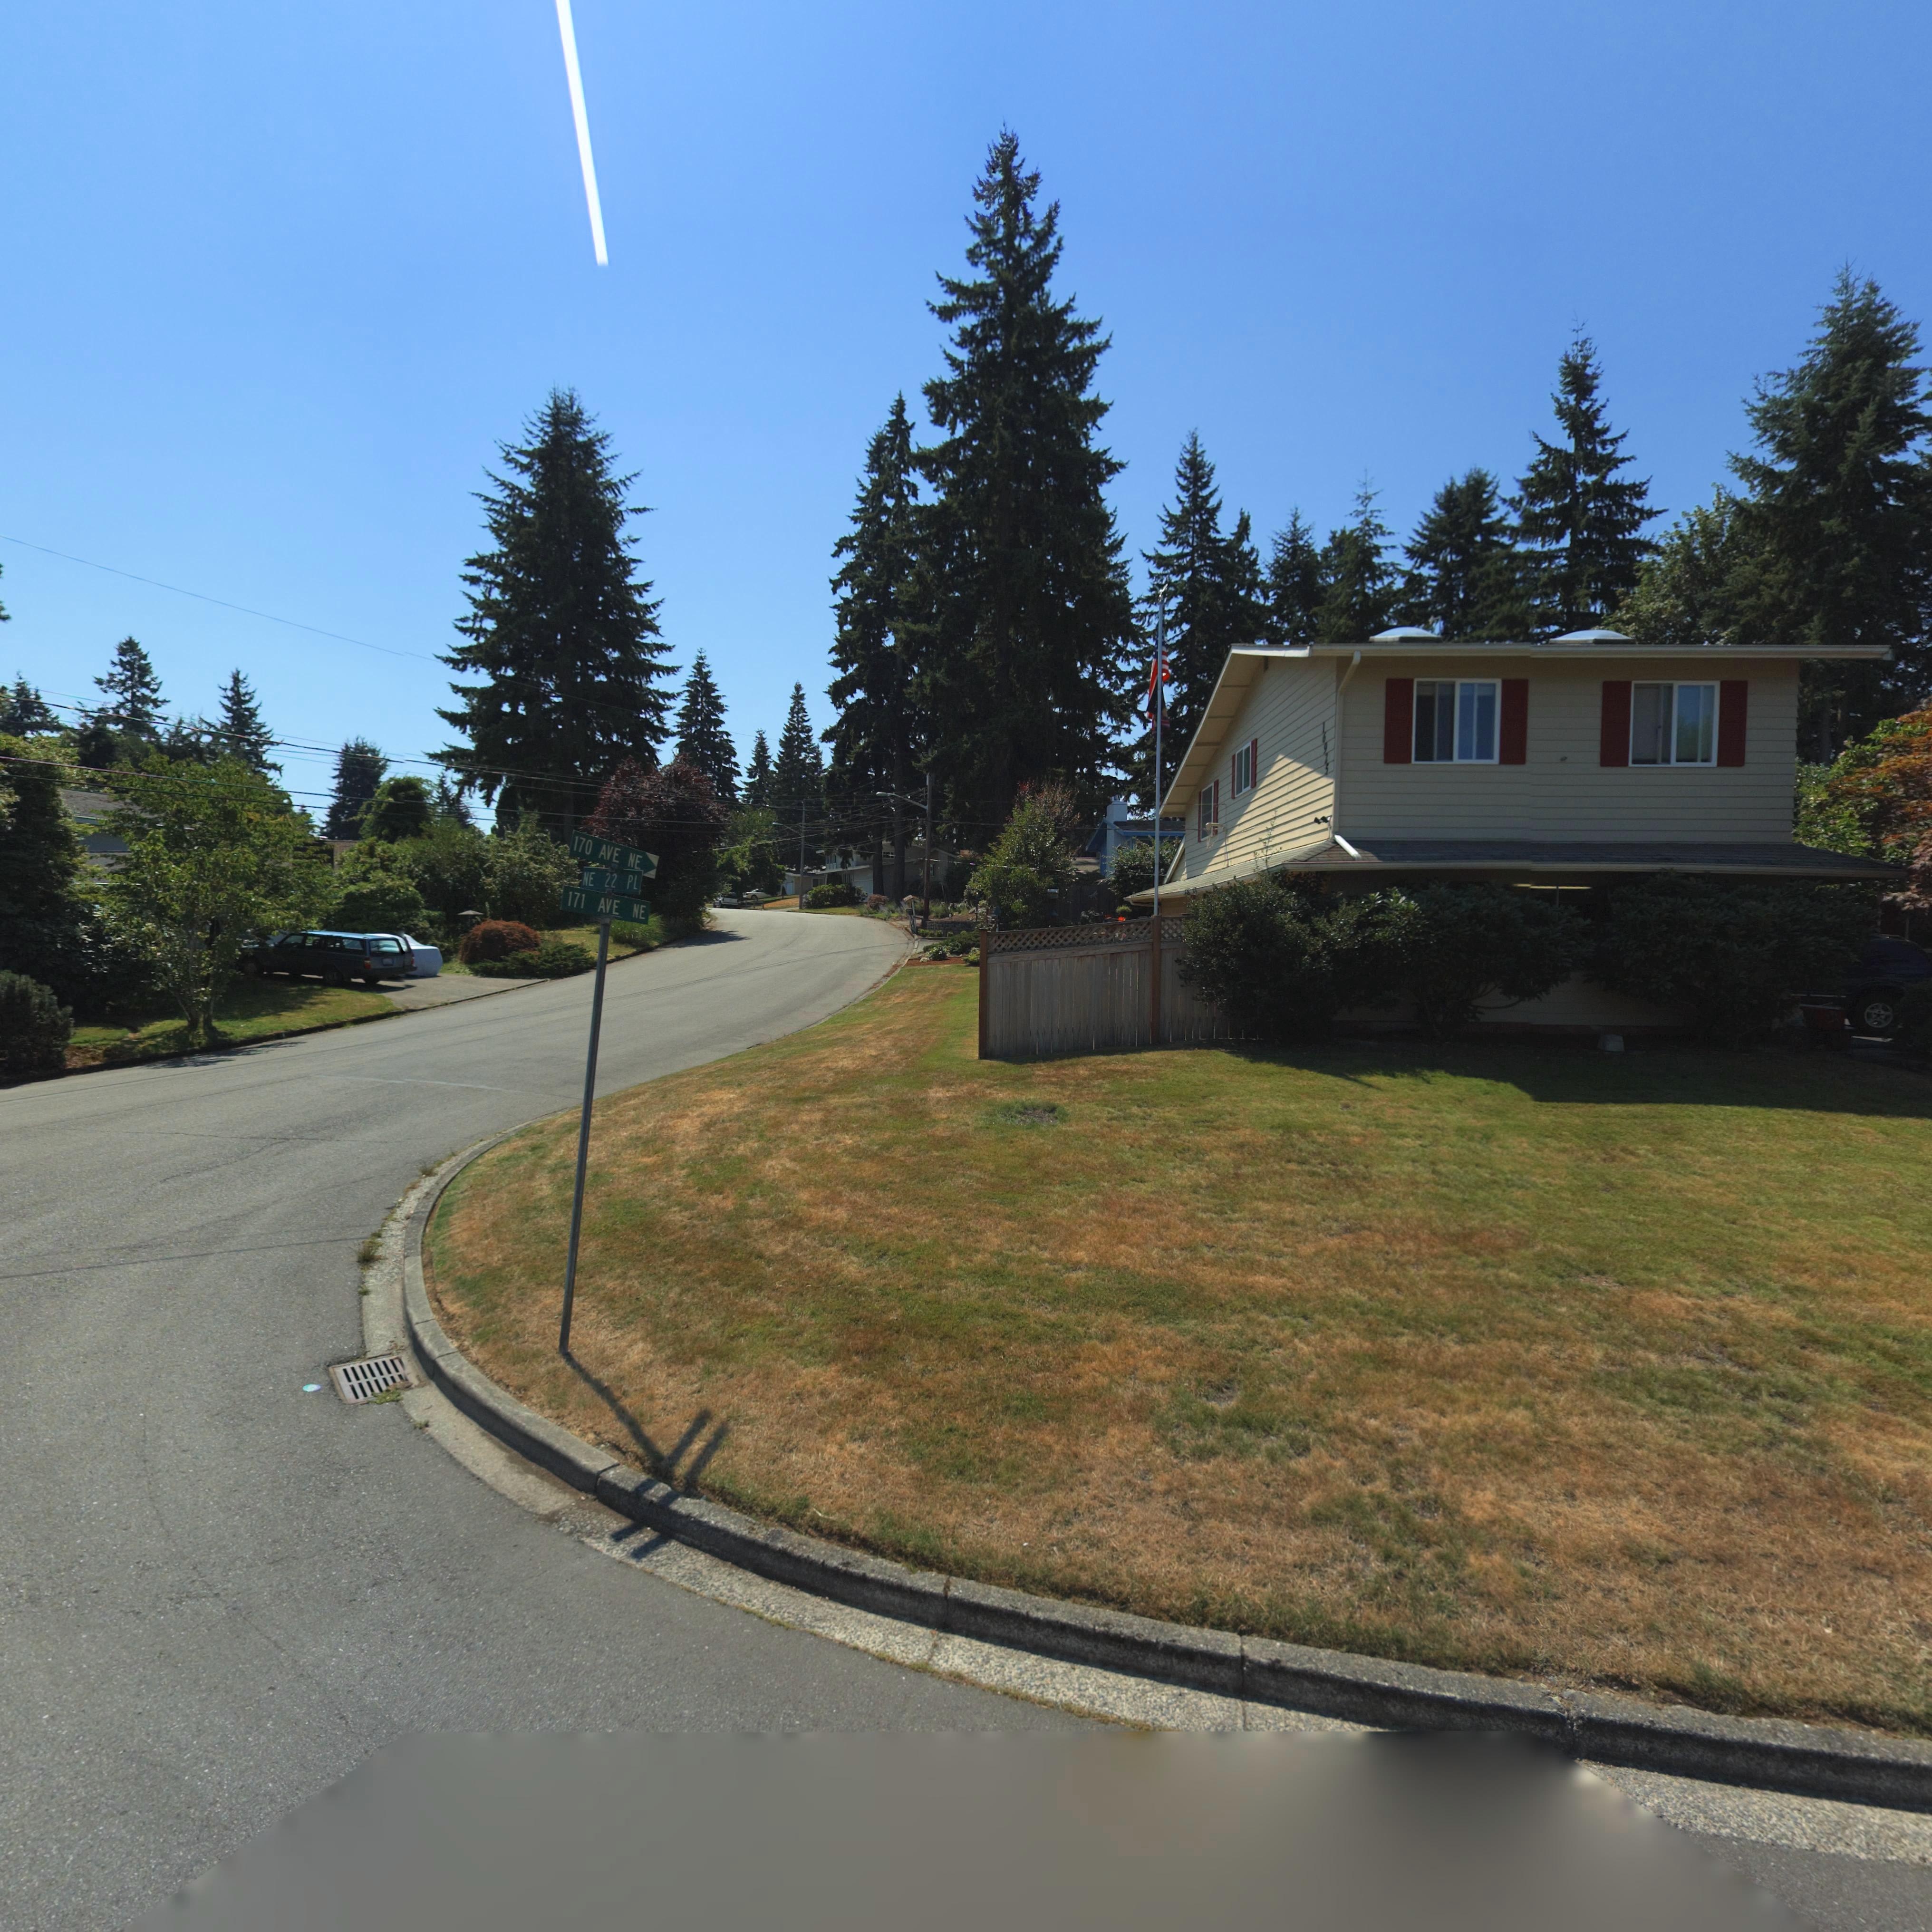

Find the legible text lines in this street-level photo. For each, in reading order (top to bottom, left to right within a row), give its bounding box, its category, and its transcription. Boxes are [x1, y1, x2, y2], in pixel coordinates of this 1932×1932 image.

[1319, 720, 1331, 774] StreetNumber: 16923
[571, 834, 644, 870] StreetName: 170 AVE NE
[583, 870, 640, 891] StreetName: NE 22 PL
[565, 891, 647, 919] StreetName: 171 AVE NE